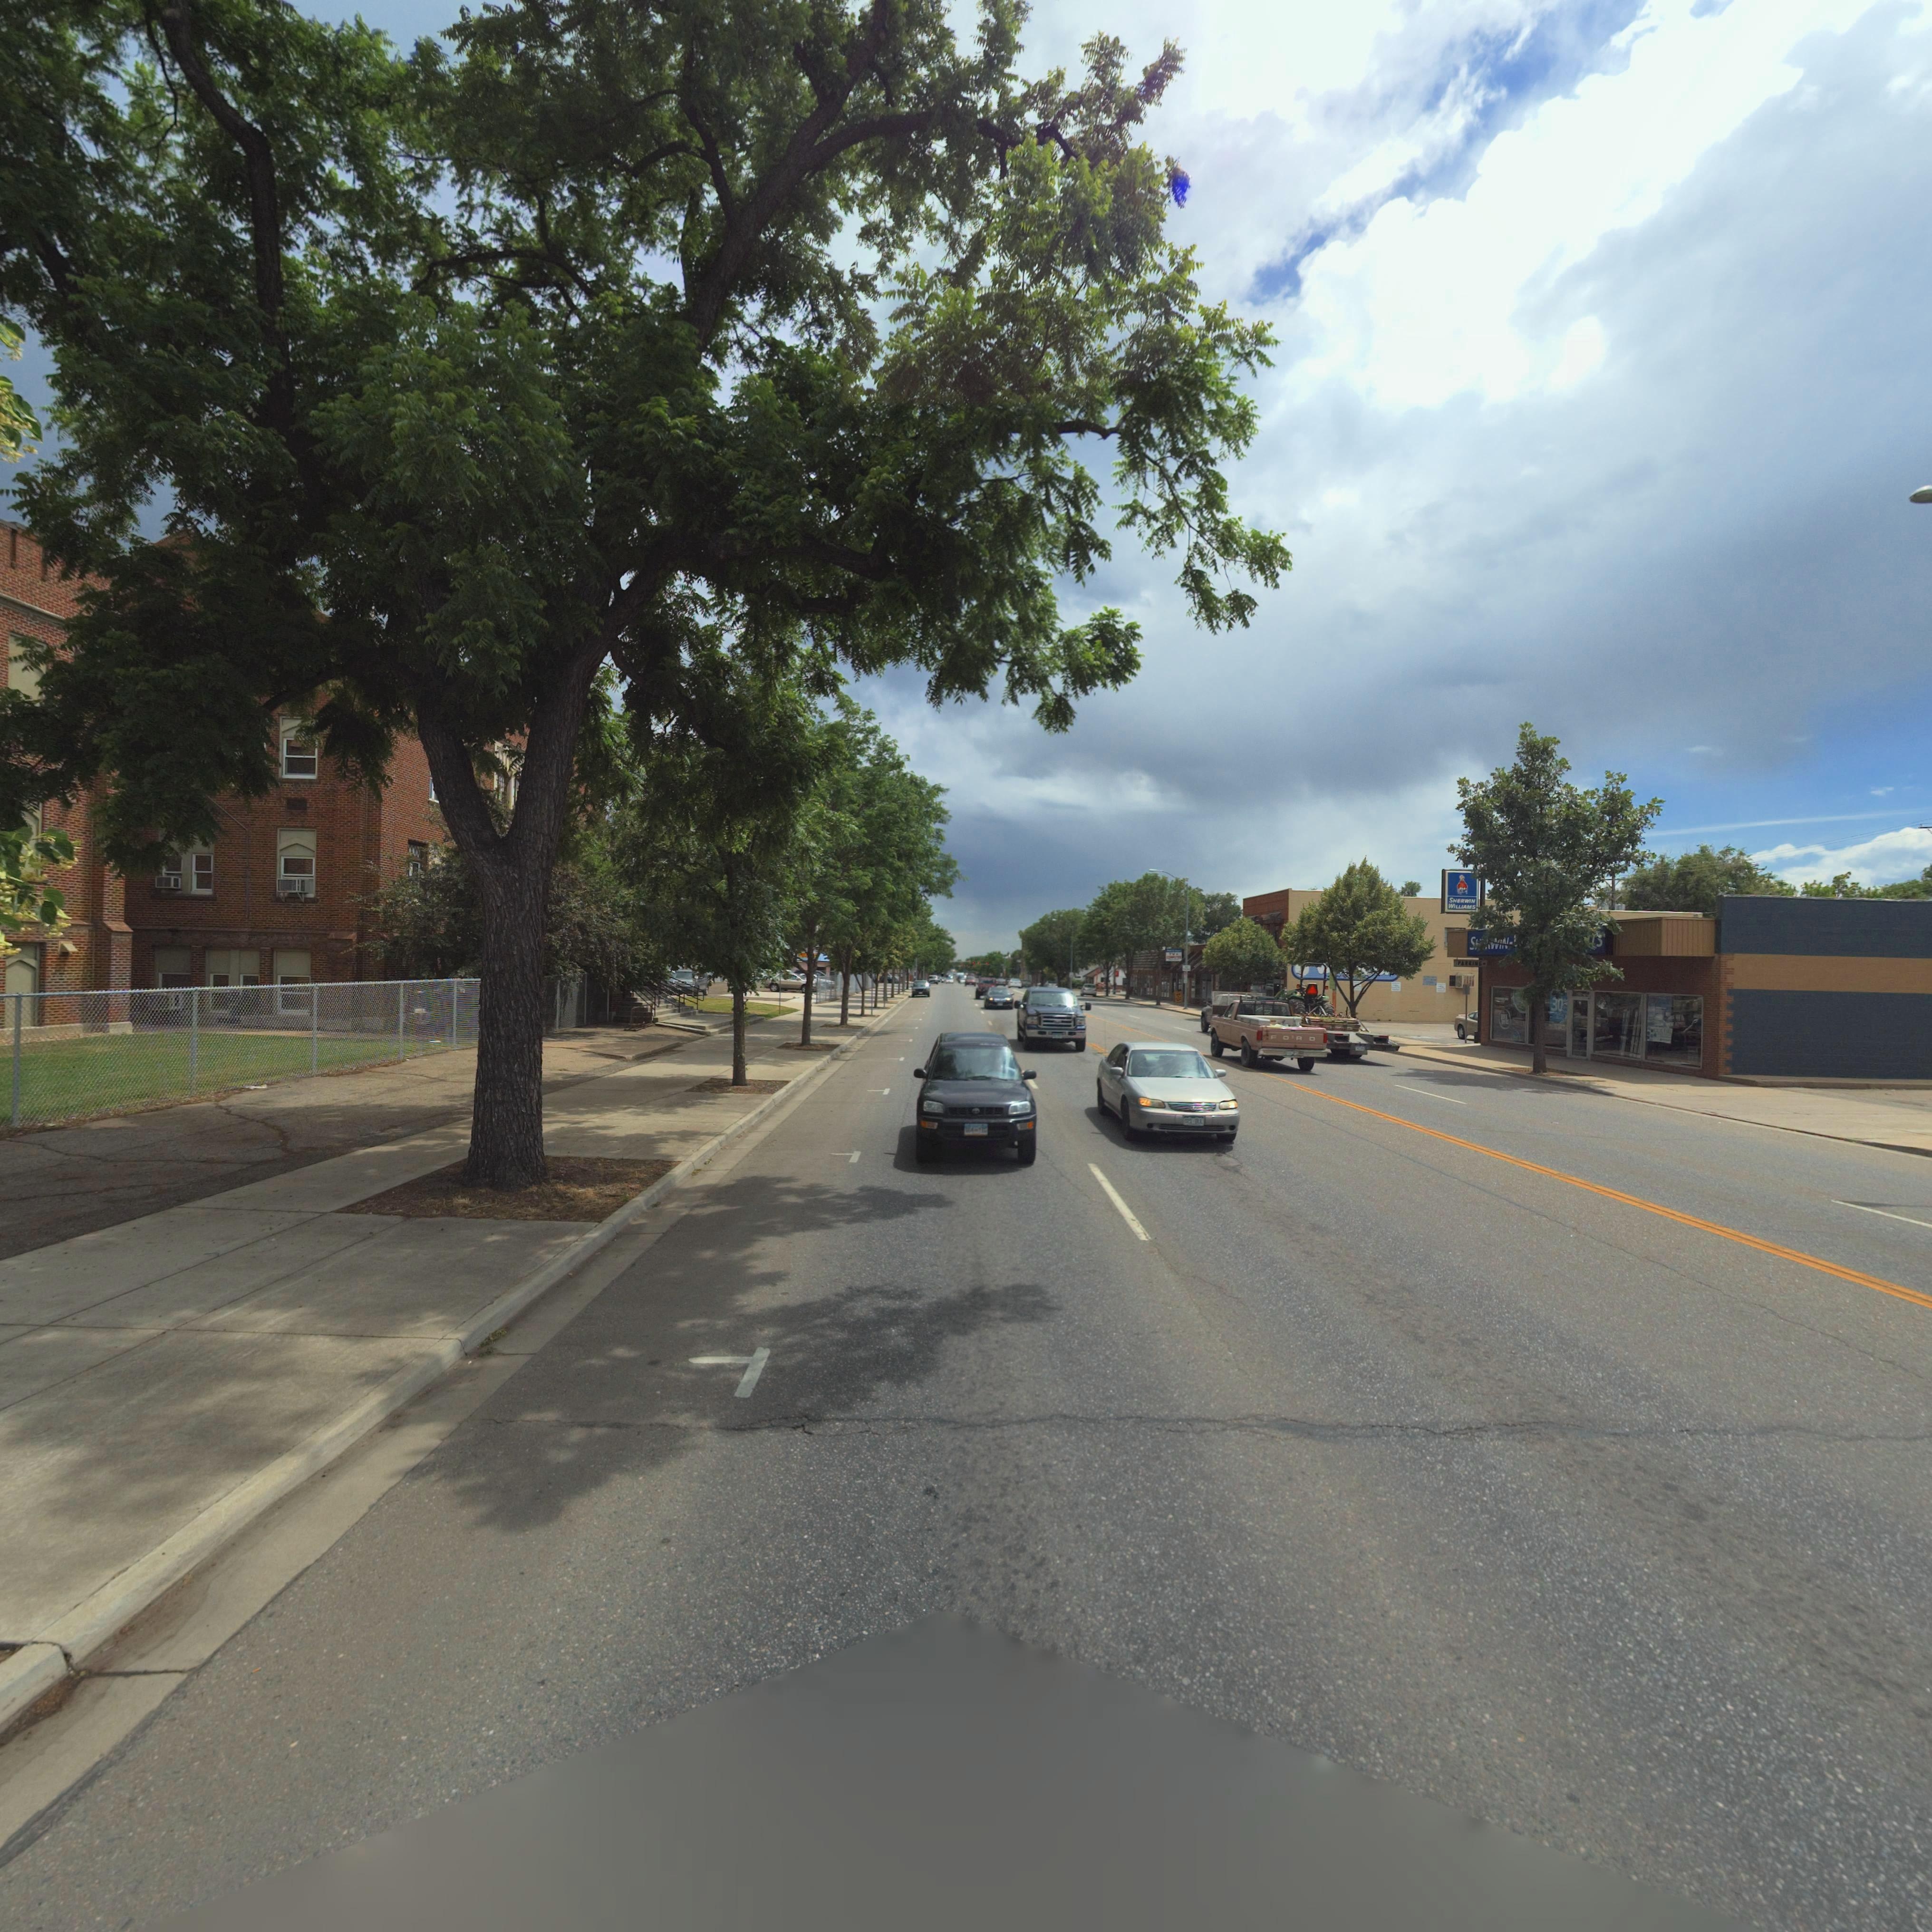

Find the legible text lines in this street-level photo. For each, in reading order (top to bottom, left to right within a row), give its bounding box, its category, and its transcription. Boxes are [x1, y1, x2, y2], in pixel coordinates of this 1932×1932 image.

[1449, 897, 1476, 903] BusinessName: SHERWIN
[1448, 903, 1476, 909] BusinessName: WILLIAMS
[1169, 952, 1179, 955] BusinessName: TV &